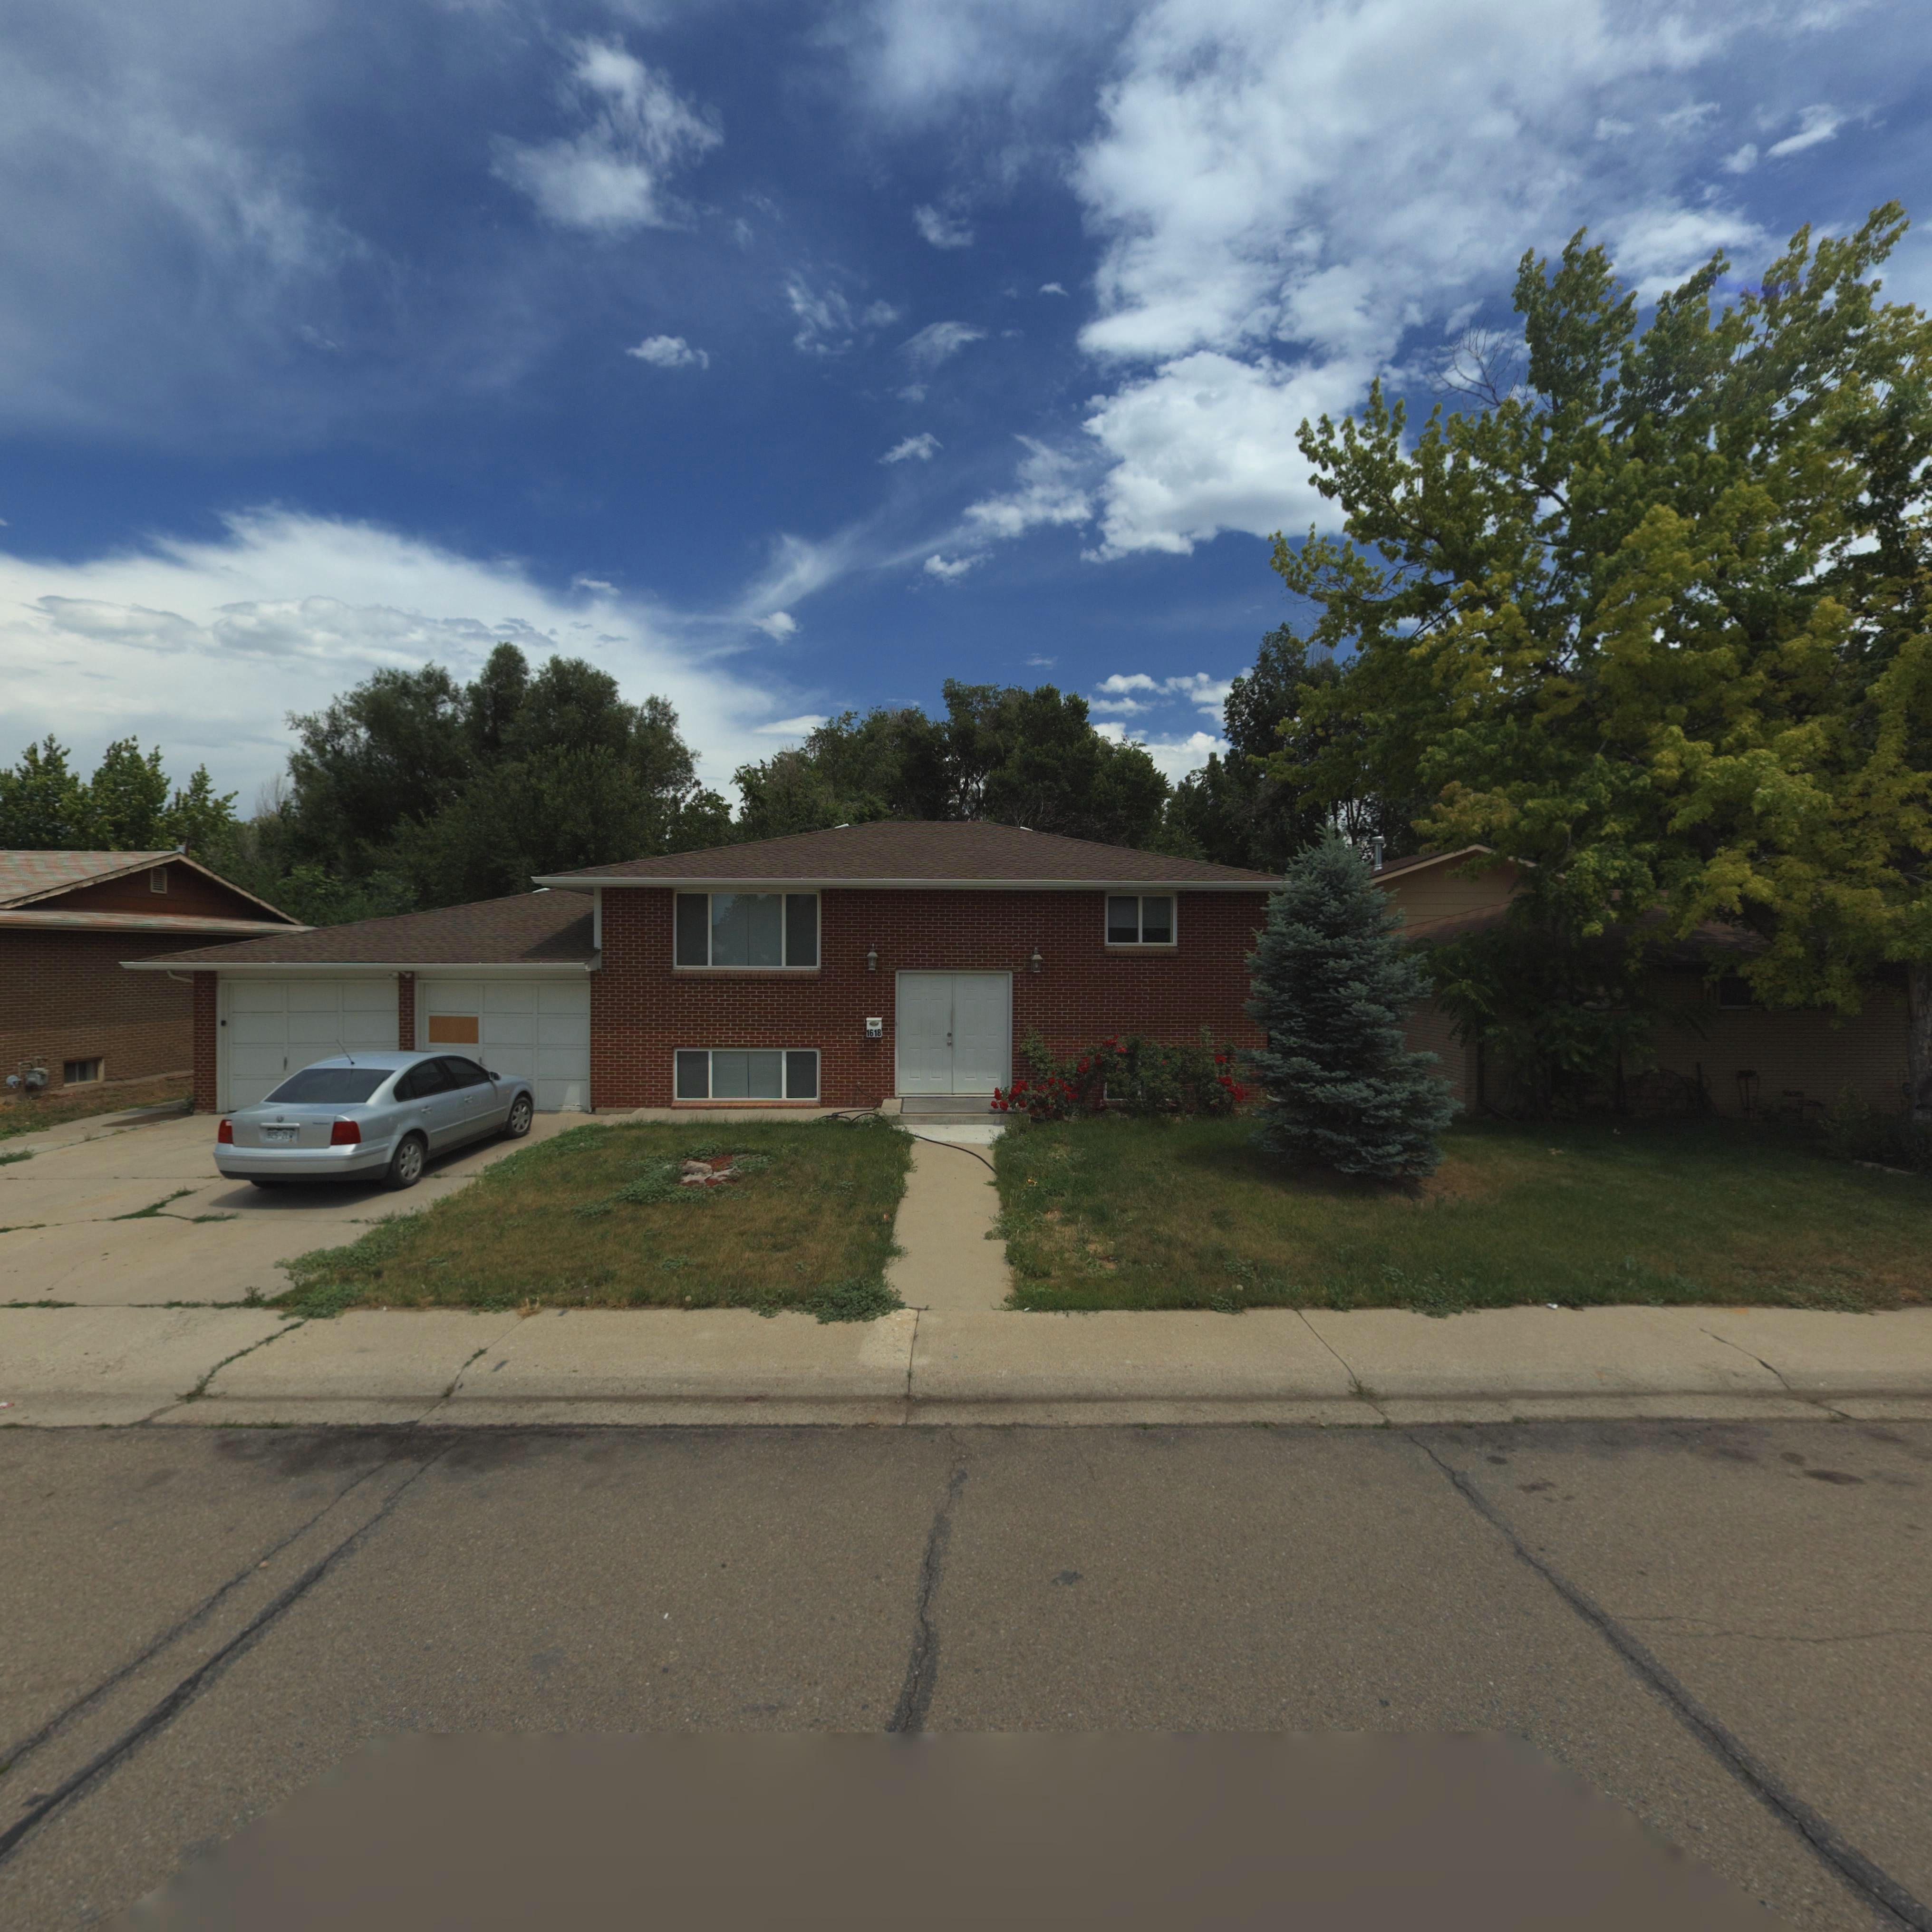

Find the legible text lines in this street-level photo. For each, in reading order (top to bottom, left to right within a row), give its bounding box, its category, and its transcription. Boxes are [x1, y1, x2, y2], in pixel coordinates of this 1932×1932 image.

[866, 1029, 881, 1036] StreetNumber: 1618